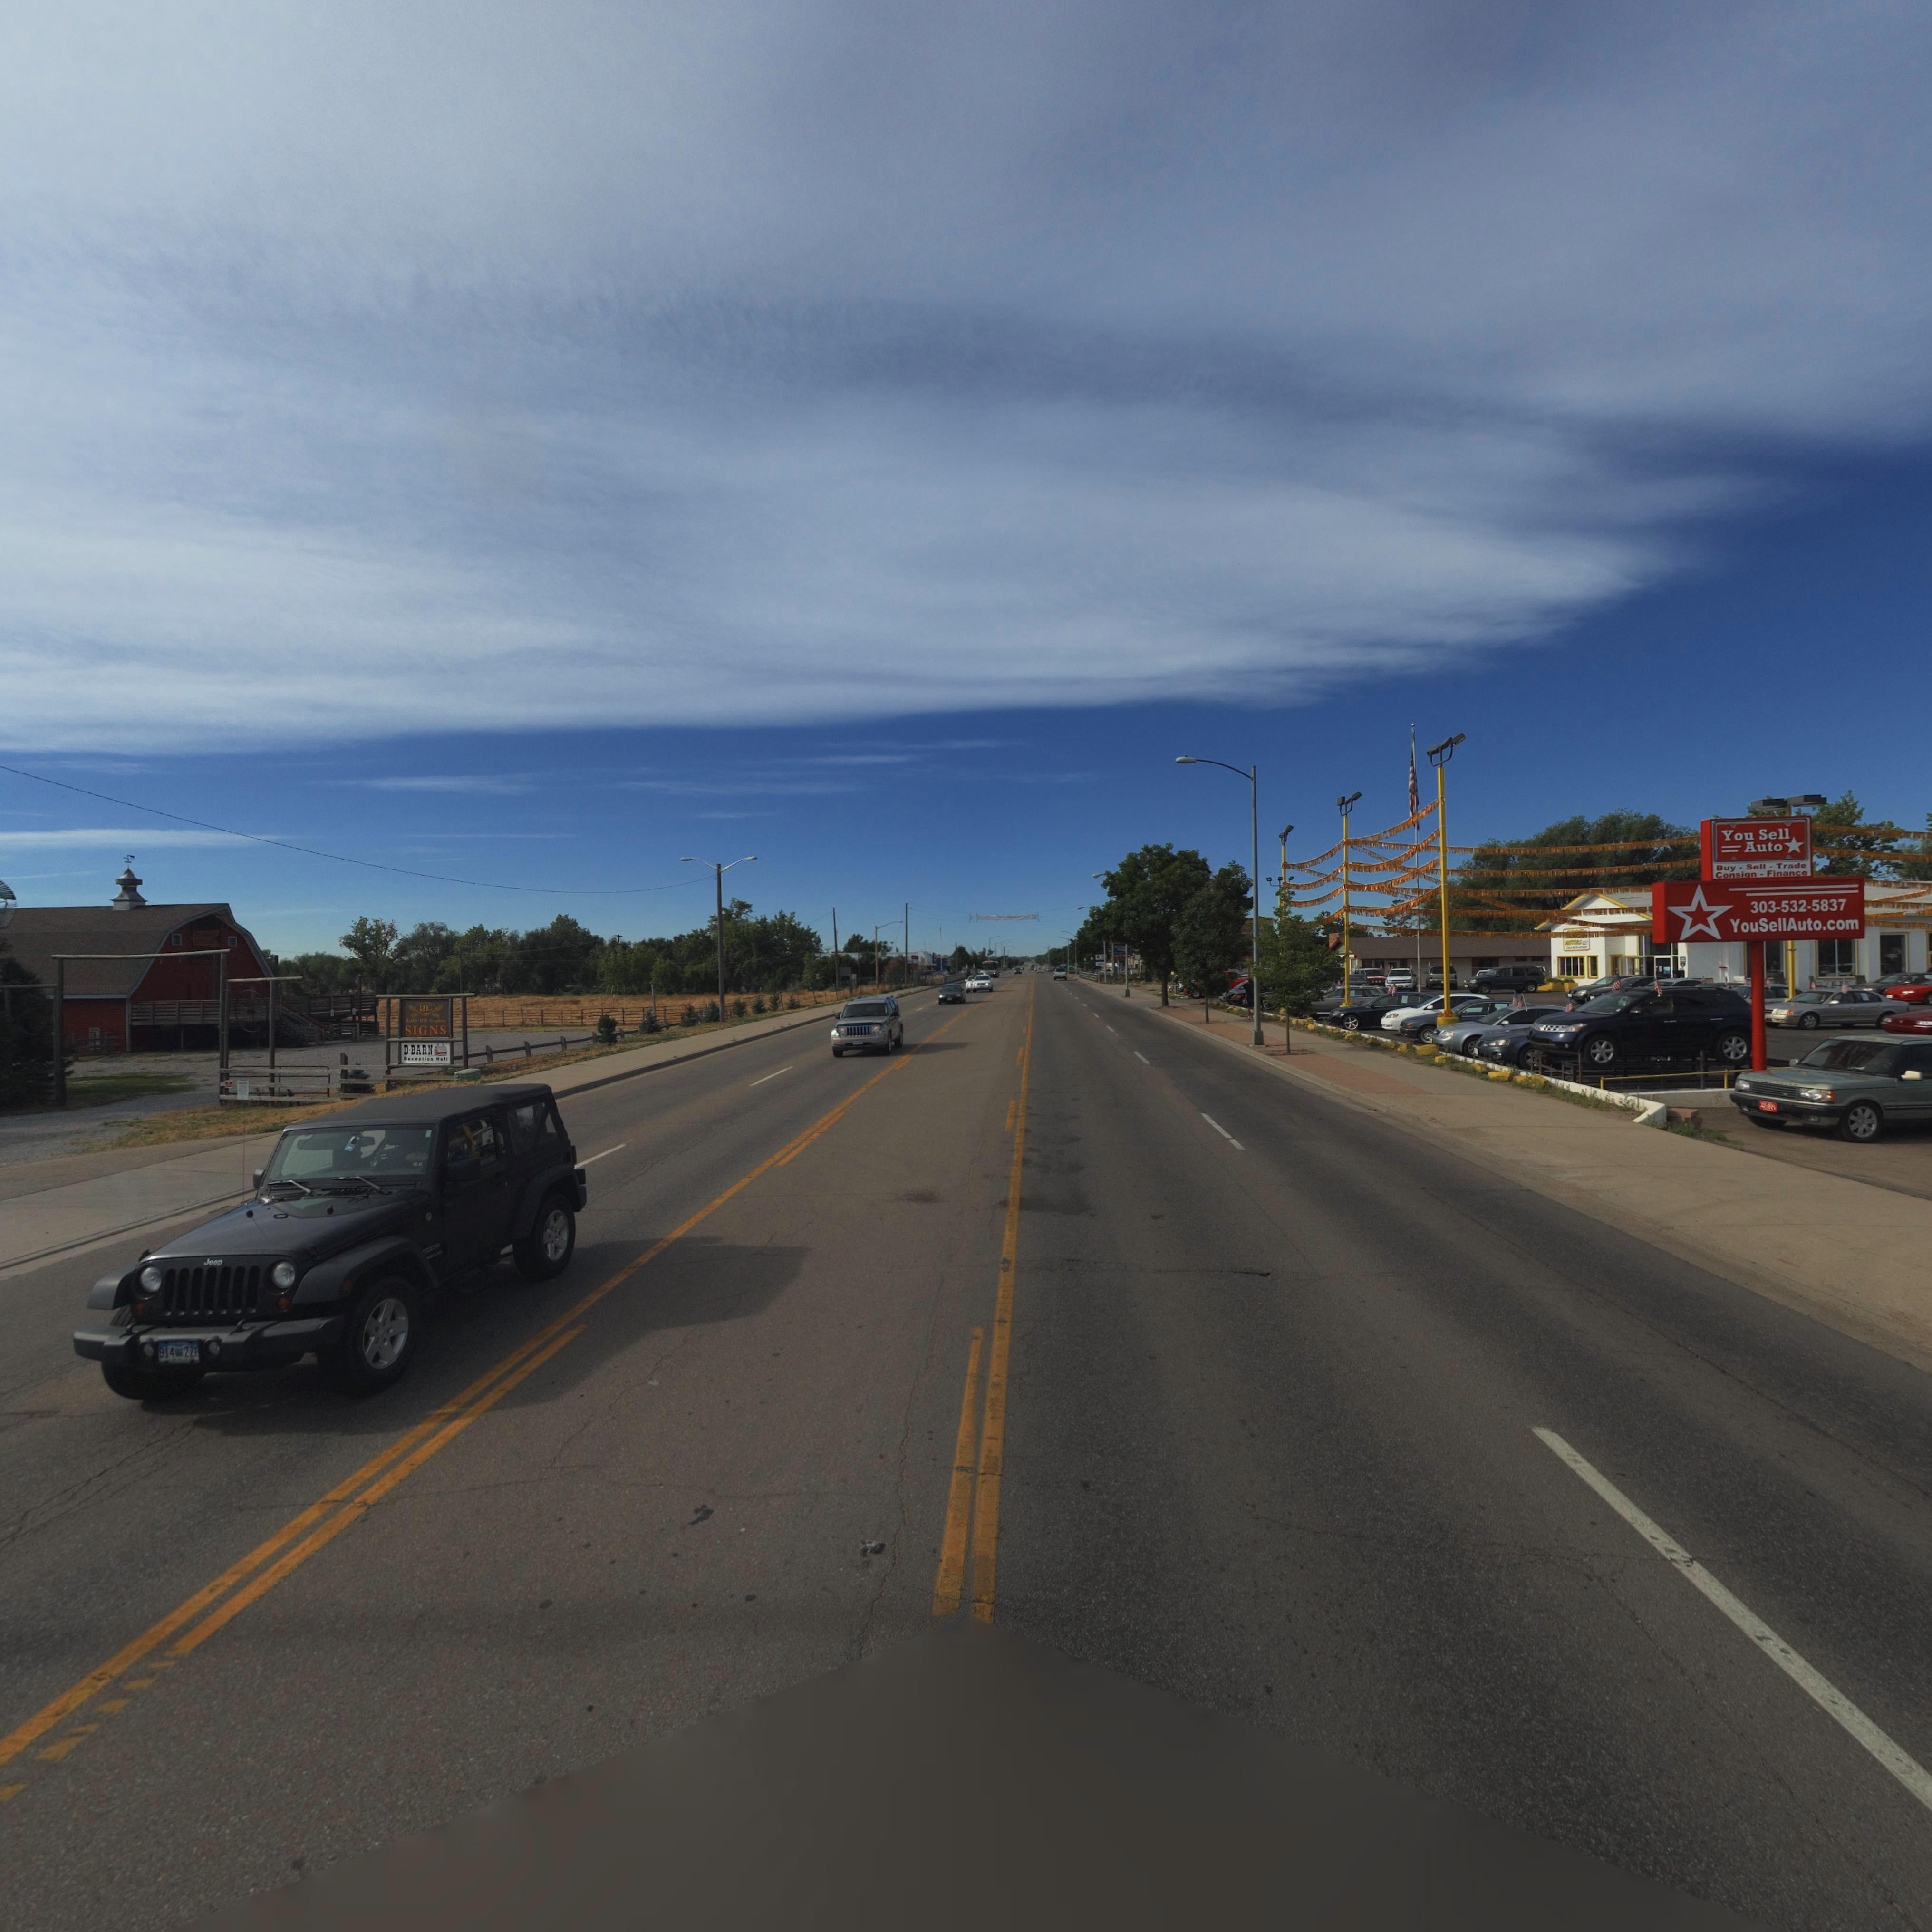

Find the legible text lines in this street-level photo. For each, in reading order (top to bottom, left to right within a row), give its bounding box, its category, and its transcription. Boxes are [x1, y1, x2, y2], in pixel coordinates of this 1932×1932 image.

[1721, 828, 1790, 841] BusinessName: You Sell
[1744, 841, 1783, 852] BusinessName: Auto
[1565, 939, 1582, 945] BusinessName: MOTORS
[418, 1004, 432, 1012] BusinessName: R*C
[403, 1044, 433, 1055] BusinessName: D-BARN
[403, 1056, 447, 1062] BusinessName: Reception Hall